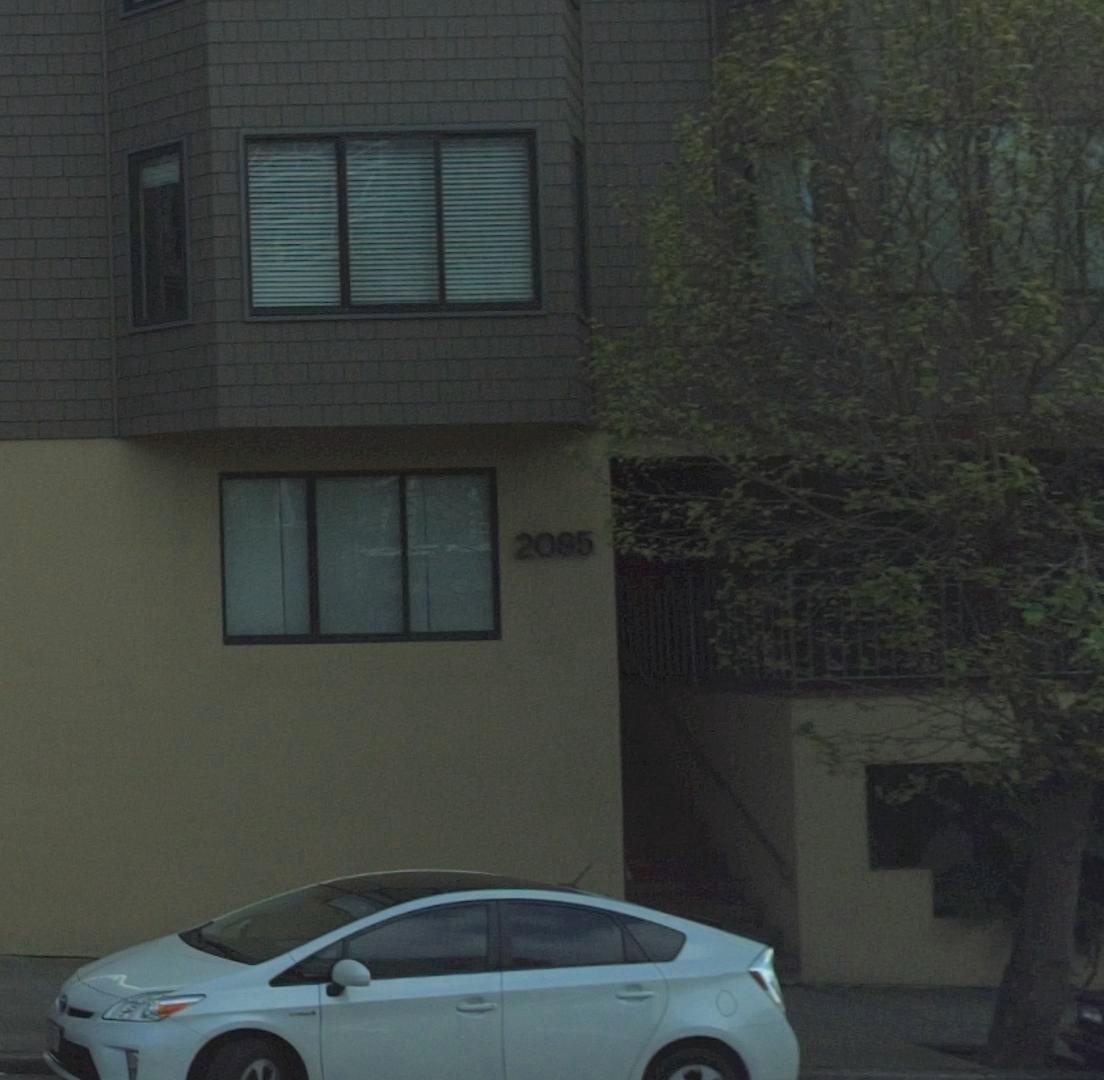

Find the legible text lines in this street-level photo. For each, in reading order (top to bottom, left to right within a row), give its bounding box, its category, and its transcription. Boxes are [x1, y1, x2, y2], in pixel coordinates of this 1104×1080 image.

[512, 527, 596, 563] StreetNumber: 2095